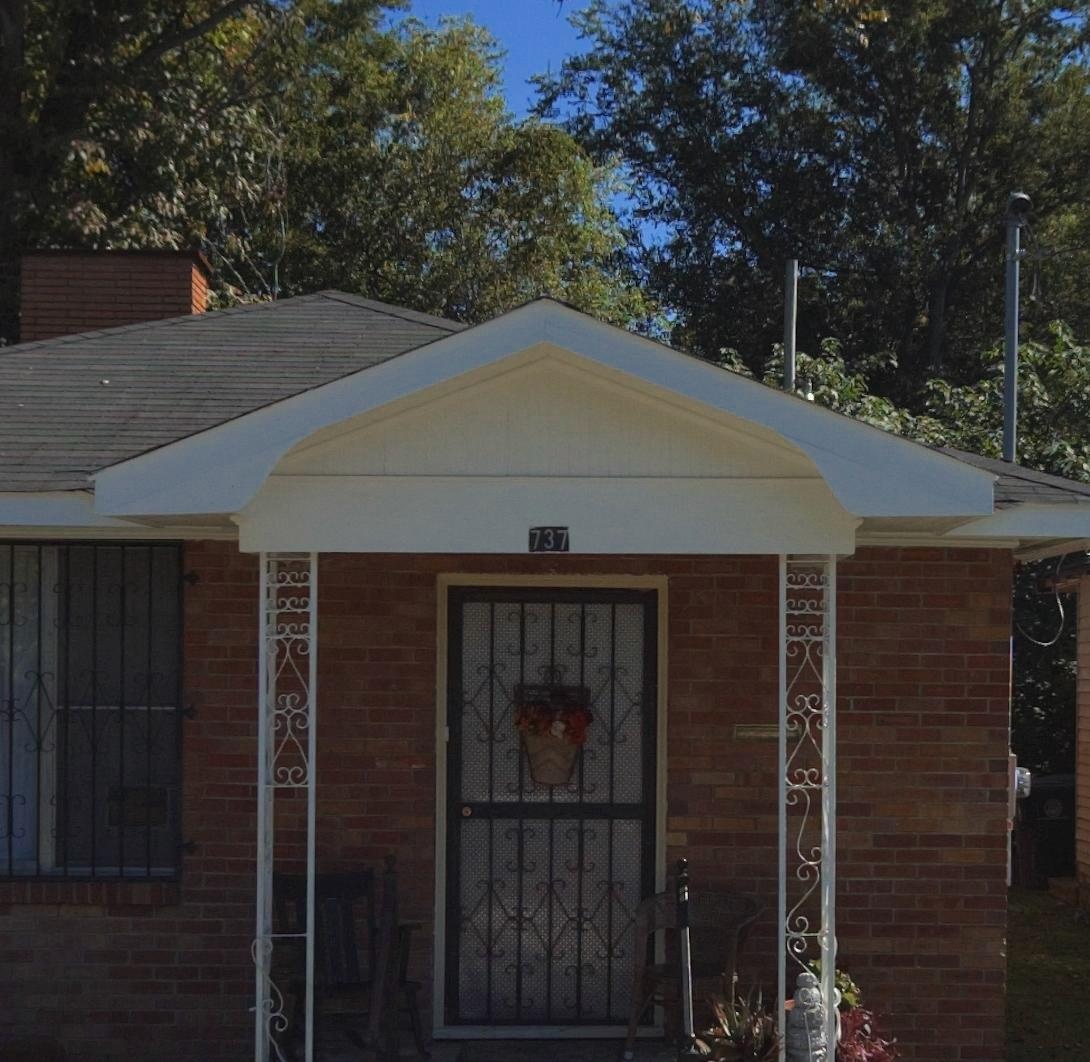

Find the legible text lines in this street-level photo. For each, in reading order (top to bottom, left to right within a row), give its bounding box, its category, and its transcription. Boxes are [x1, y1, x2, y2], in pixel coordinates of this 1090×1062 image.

[529, 528, 569, 551] StreetNumber: 737